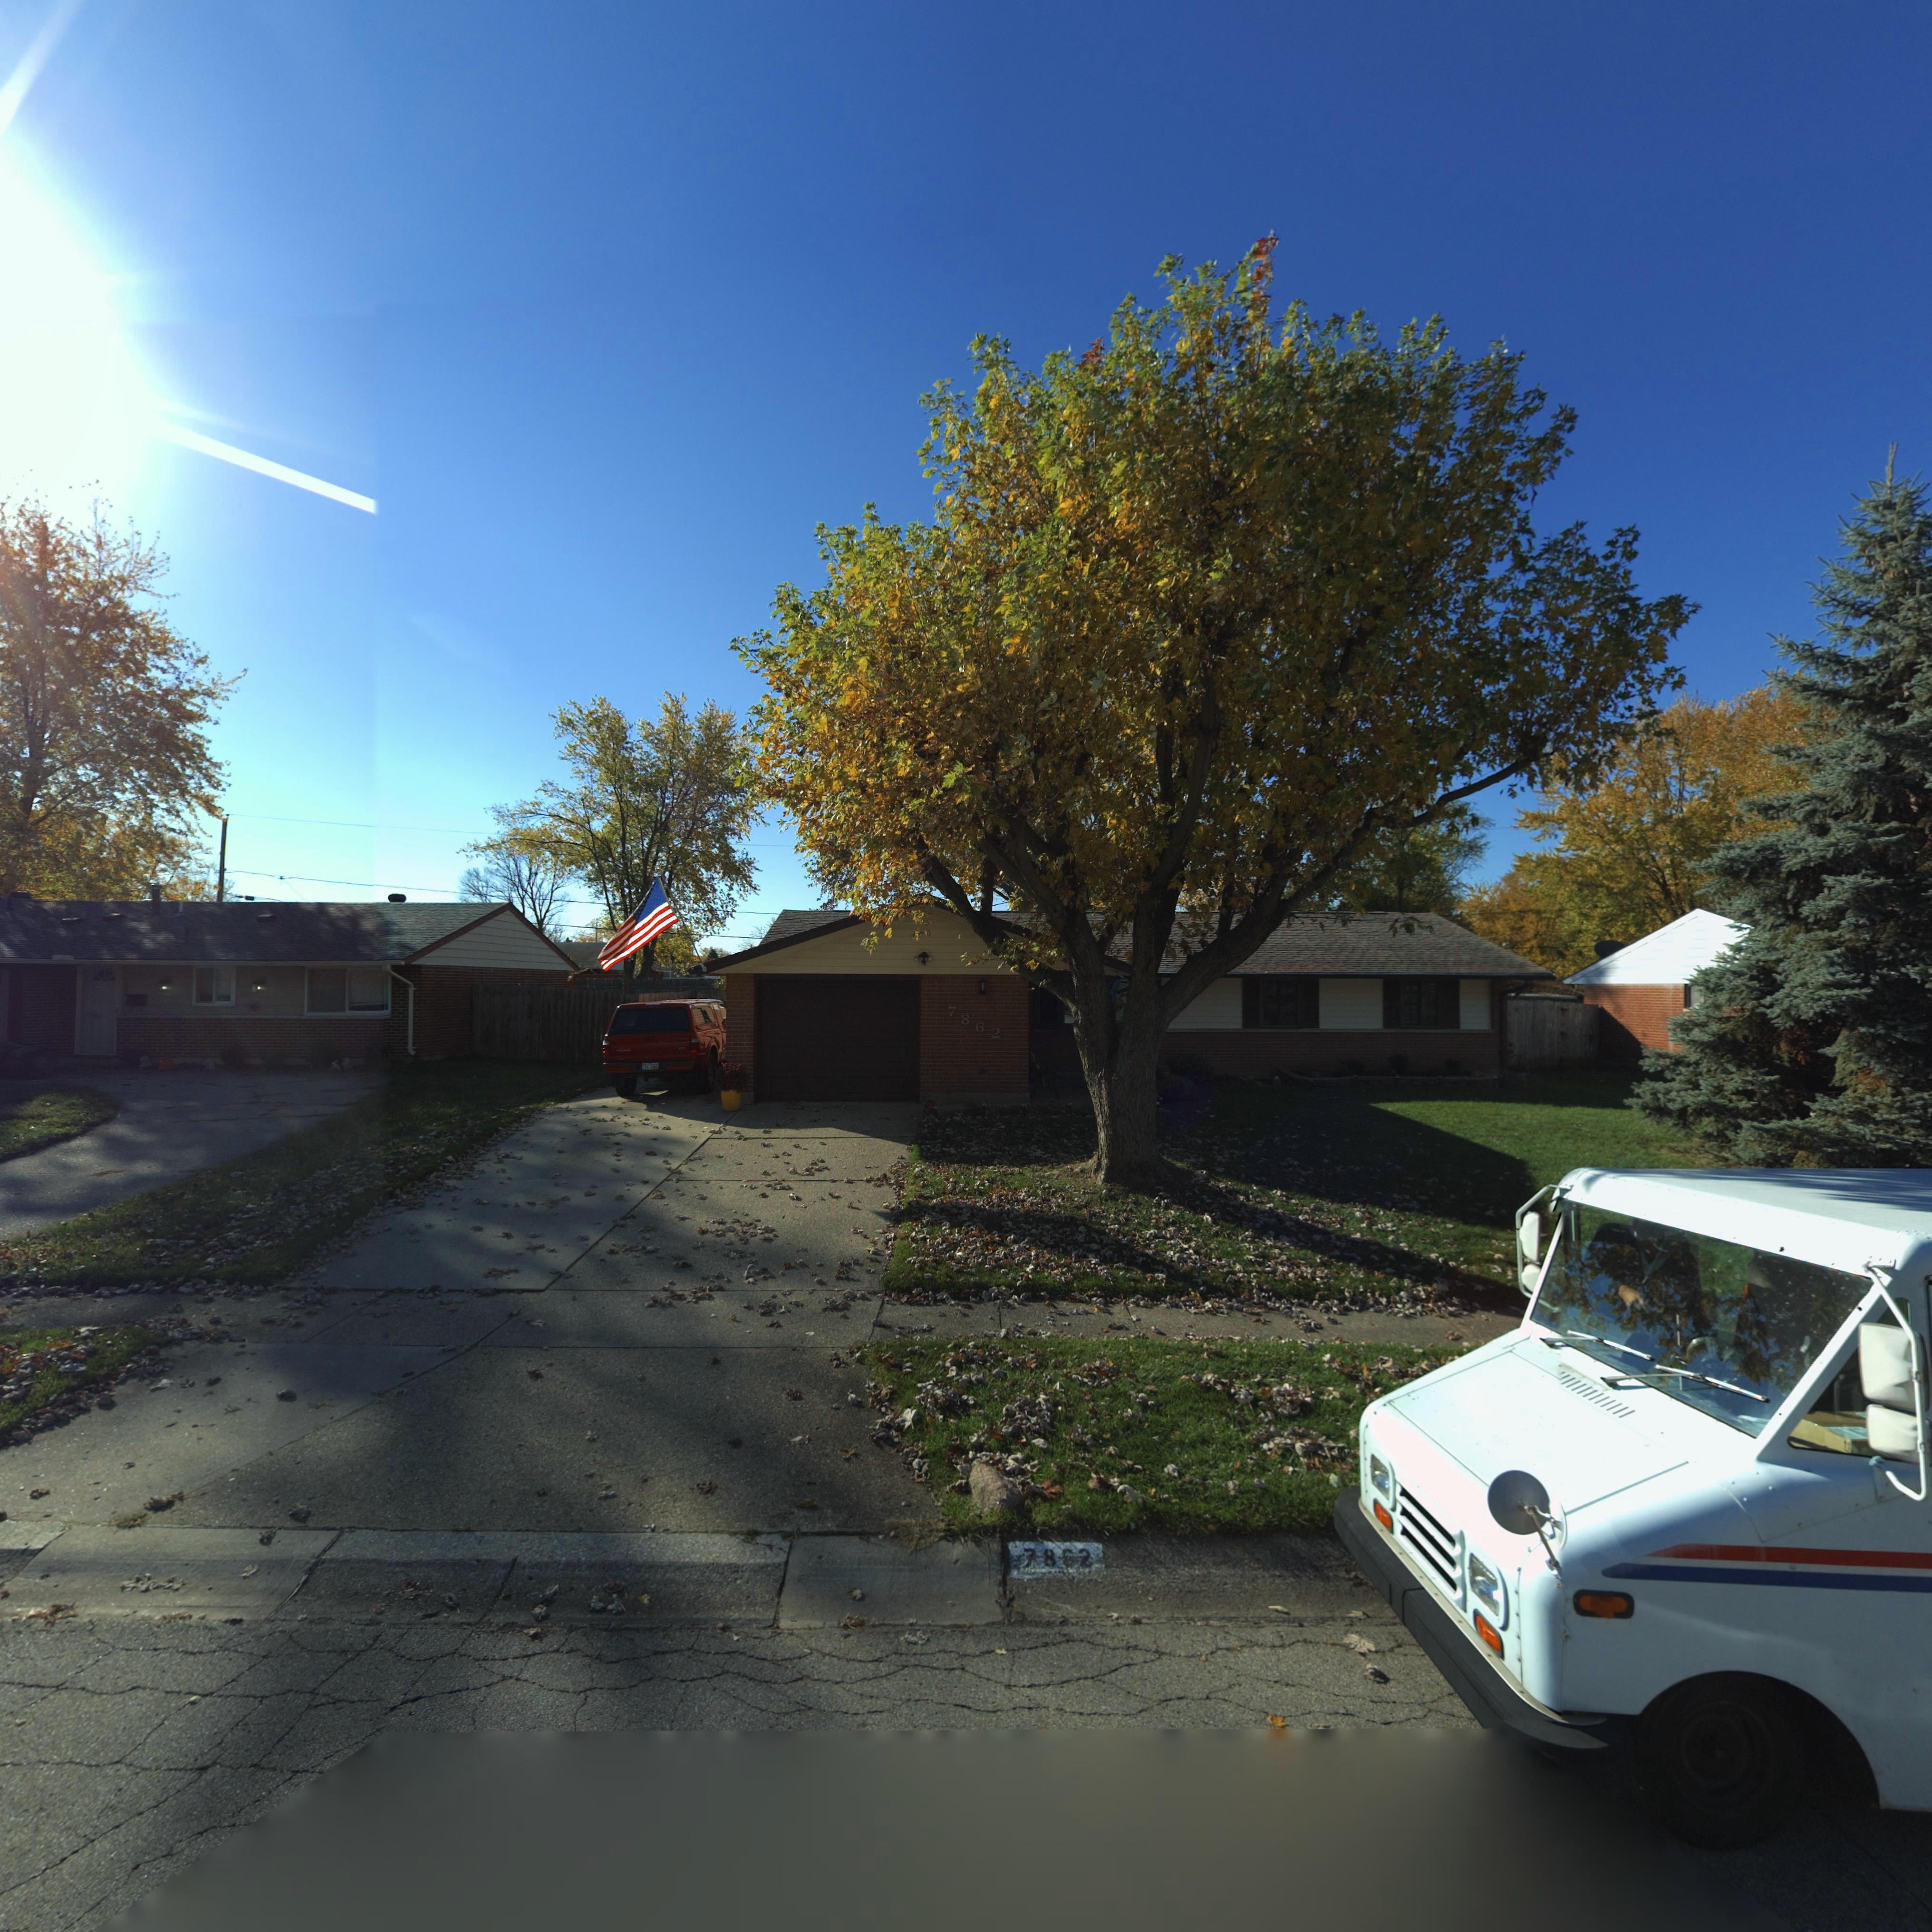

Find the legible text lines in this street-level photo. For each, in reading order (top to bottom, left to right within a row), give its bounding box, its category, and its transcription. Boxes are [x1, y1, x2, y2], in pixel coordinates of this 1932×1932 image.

[947, 1005, 1000, 1039] StreetNumber: 7862
[1023, 1547, 1093, 1568] StreetNumber: 7862